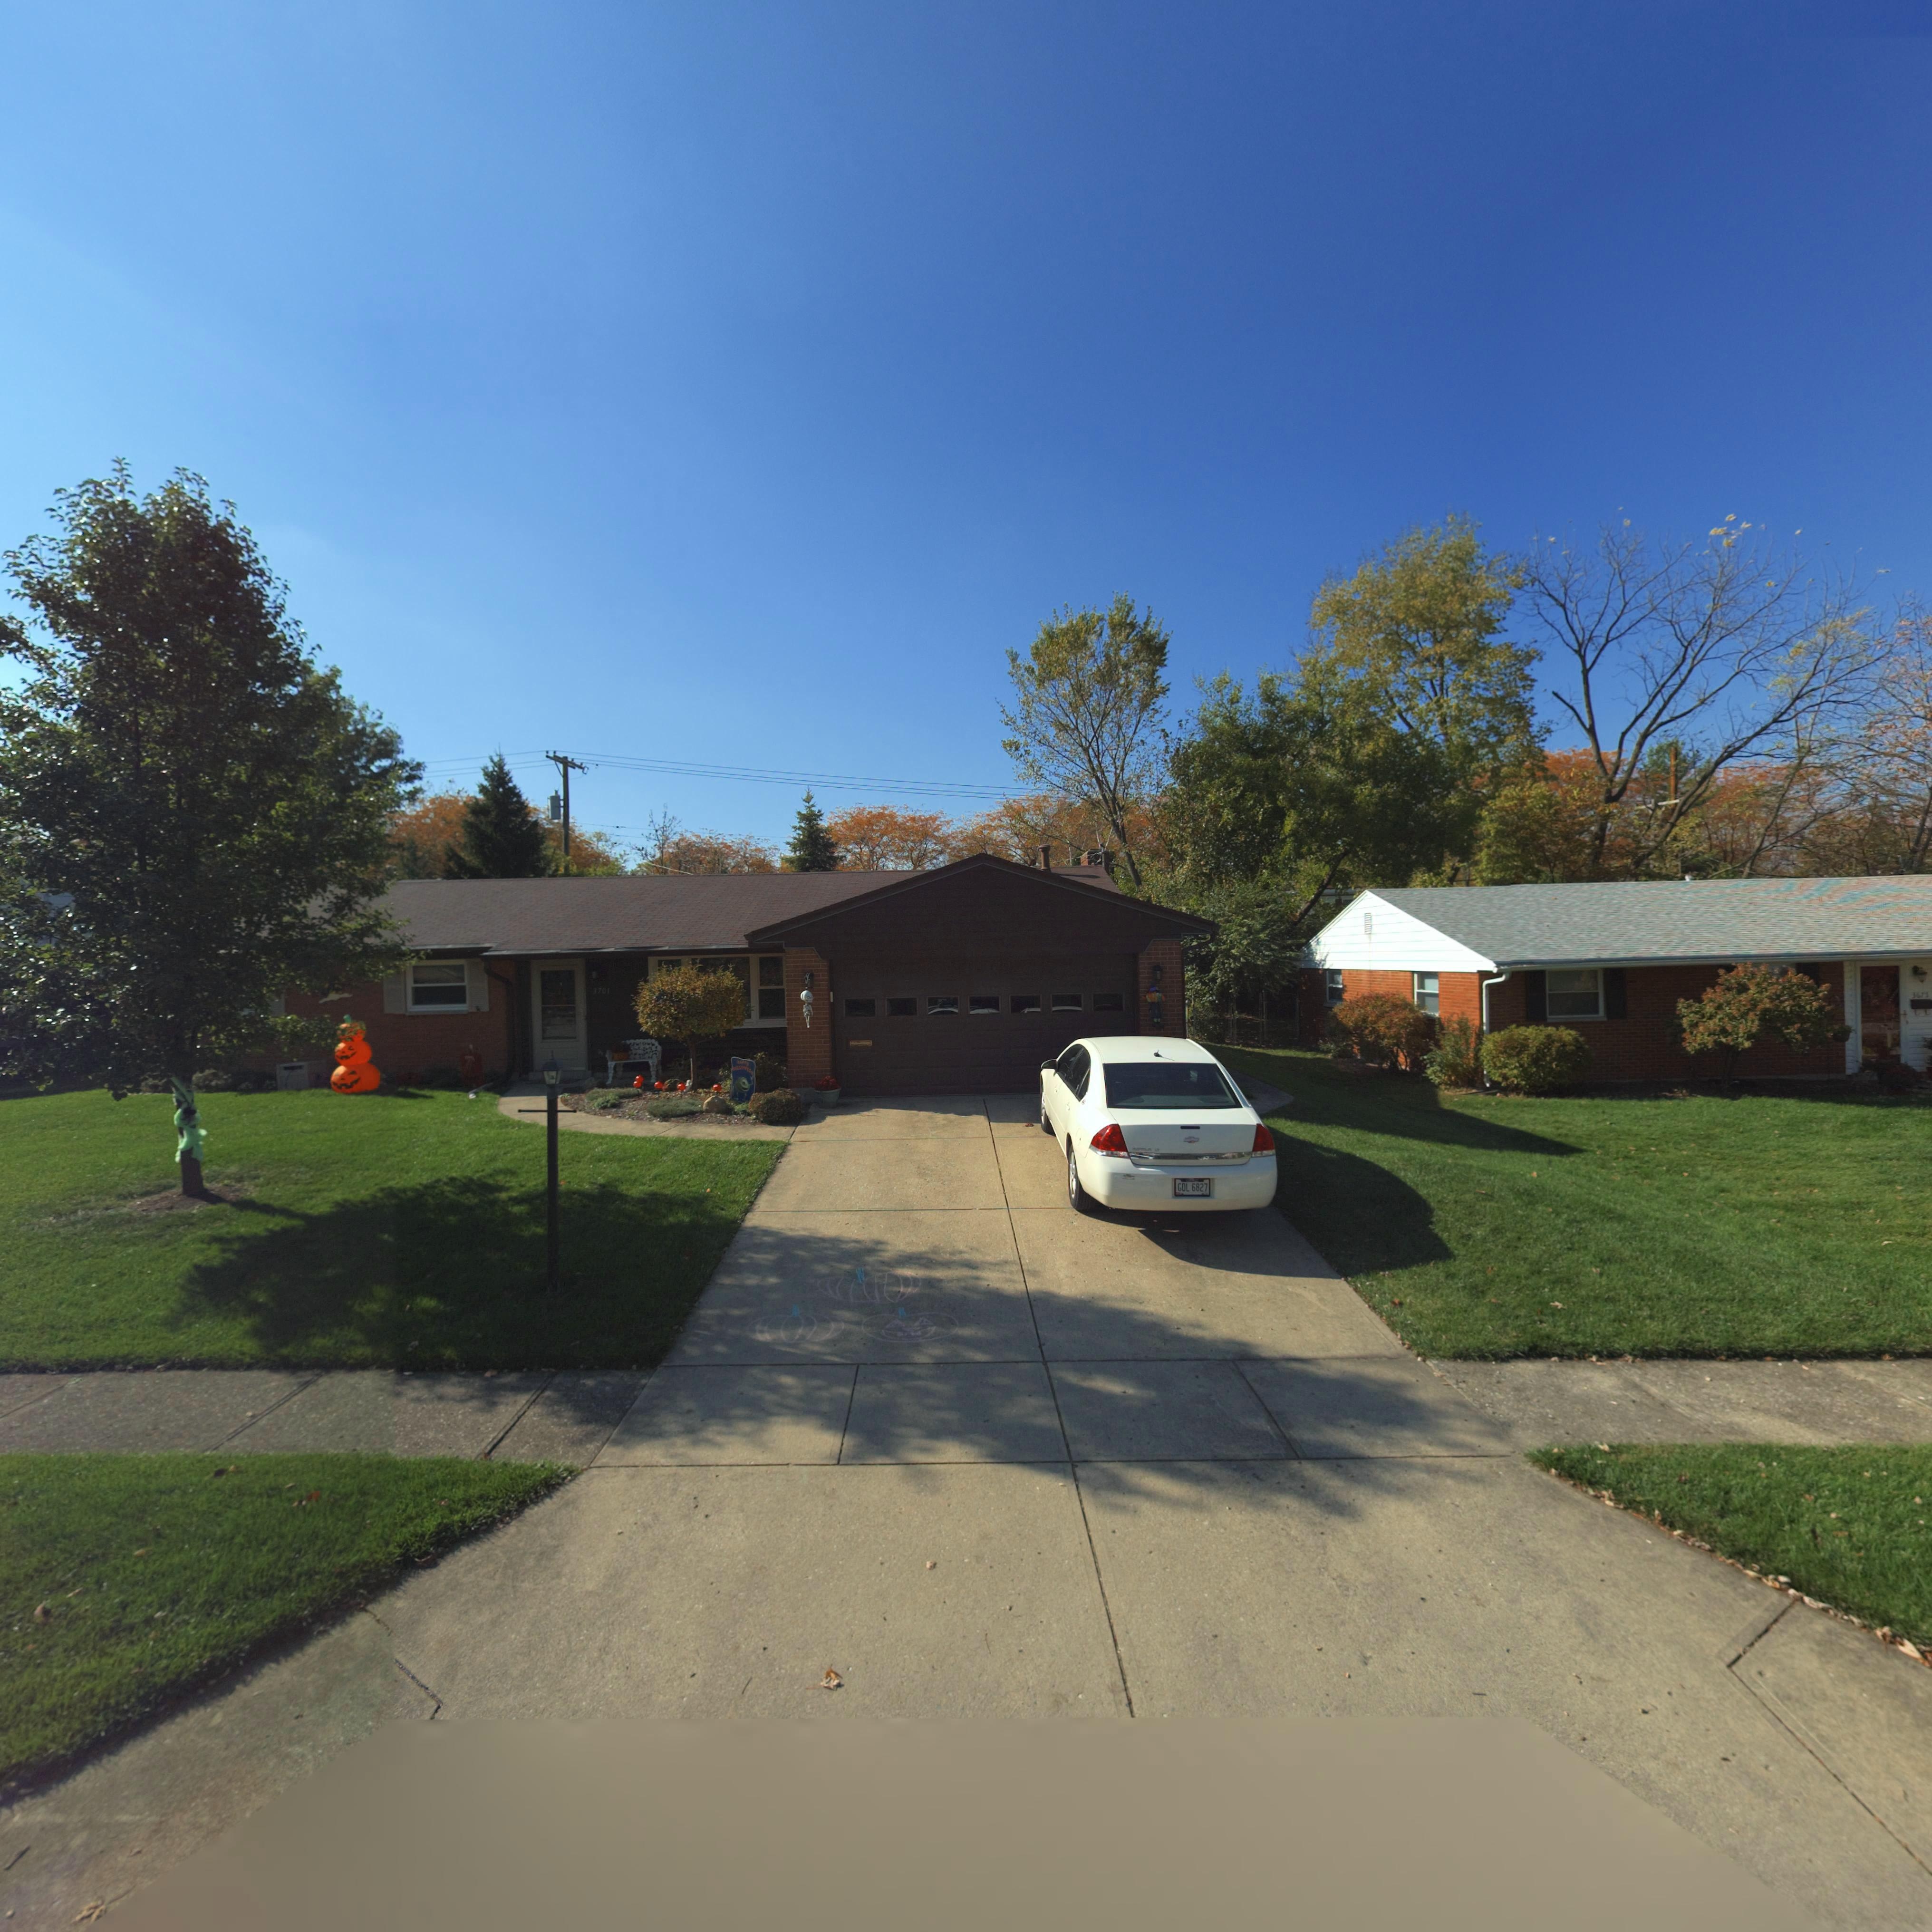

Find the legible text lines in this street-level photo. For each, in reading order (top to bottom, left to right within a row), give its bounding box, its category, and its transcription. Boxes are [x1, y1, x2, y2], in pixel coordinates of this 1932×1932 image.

[591, 986, 611, 995] StreetNumber: 3701
[1177, 1181, 1209, 1193] None: GDL 6827